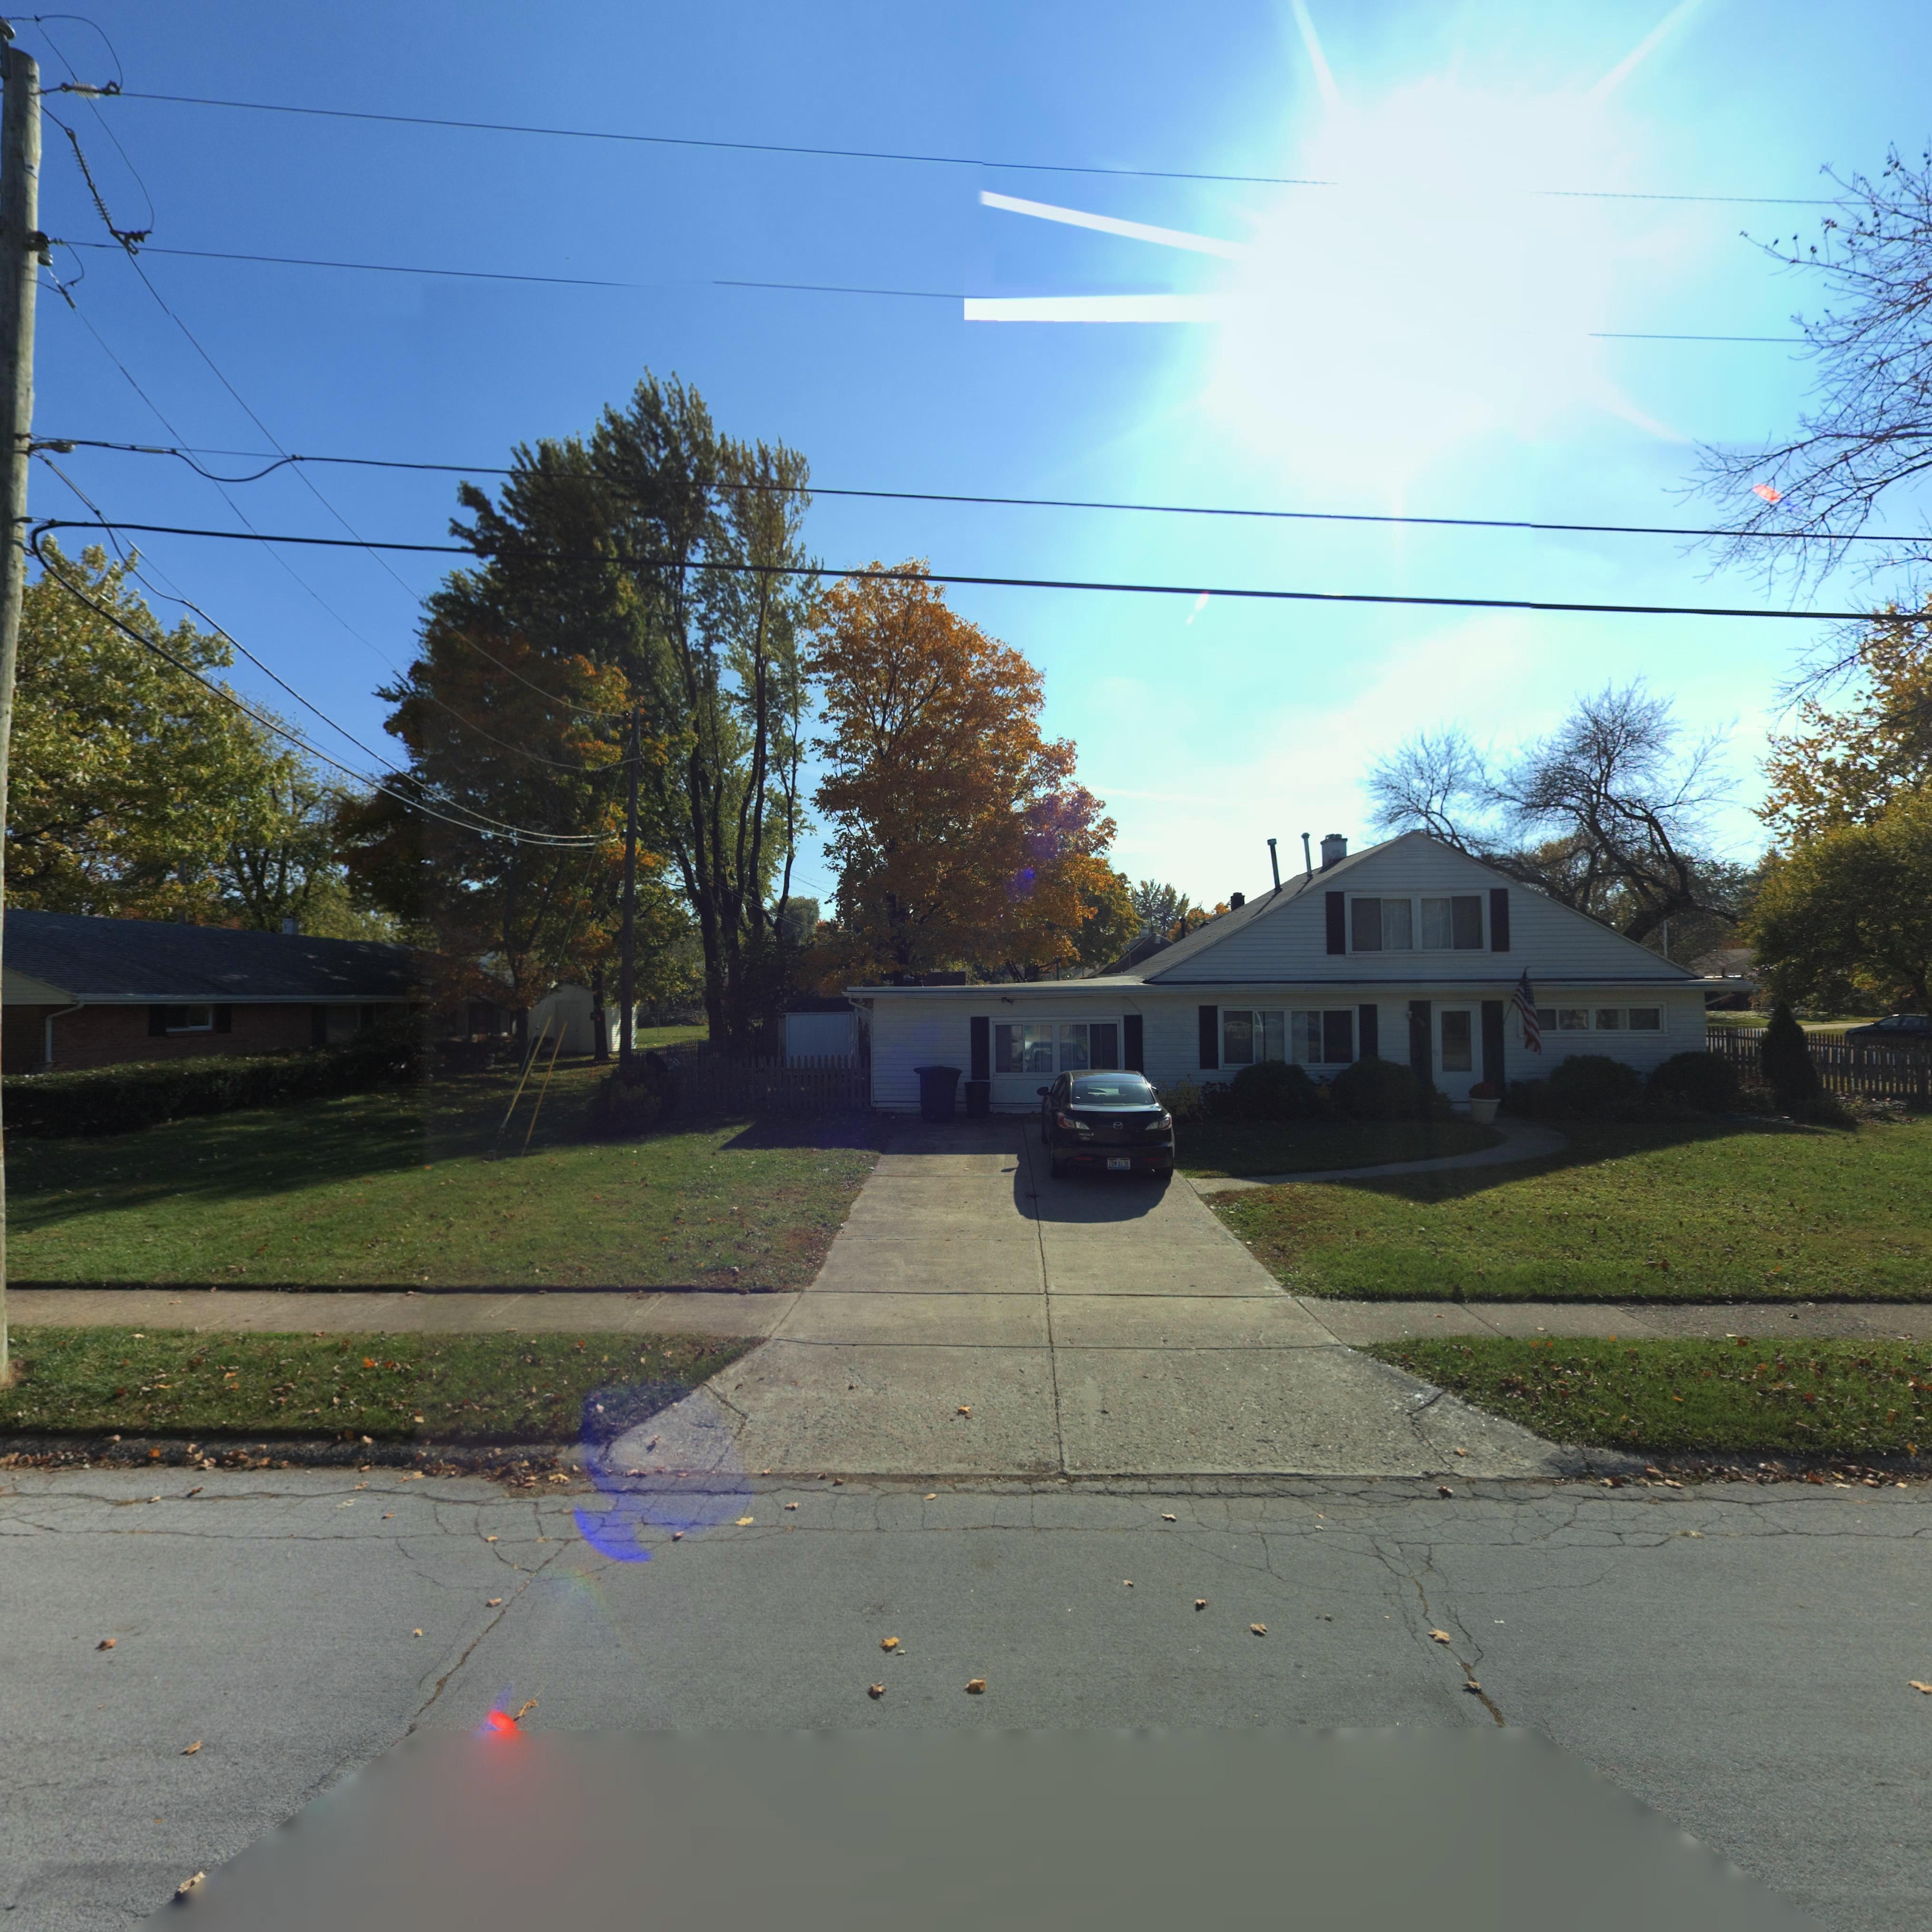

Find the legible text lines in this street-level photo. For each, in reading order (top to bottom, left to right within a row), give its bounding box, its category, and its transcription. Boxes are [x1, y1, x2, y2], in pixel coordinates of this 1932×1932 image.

[1108, 1160, 1129, 1167] None: E***6138